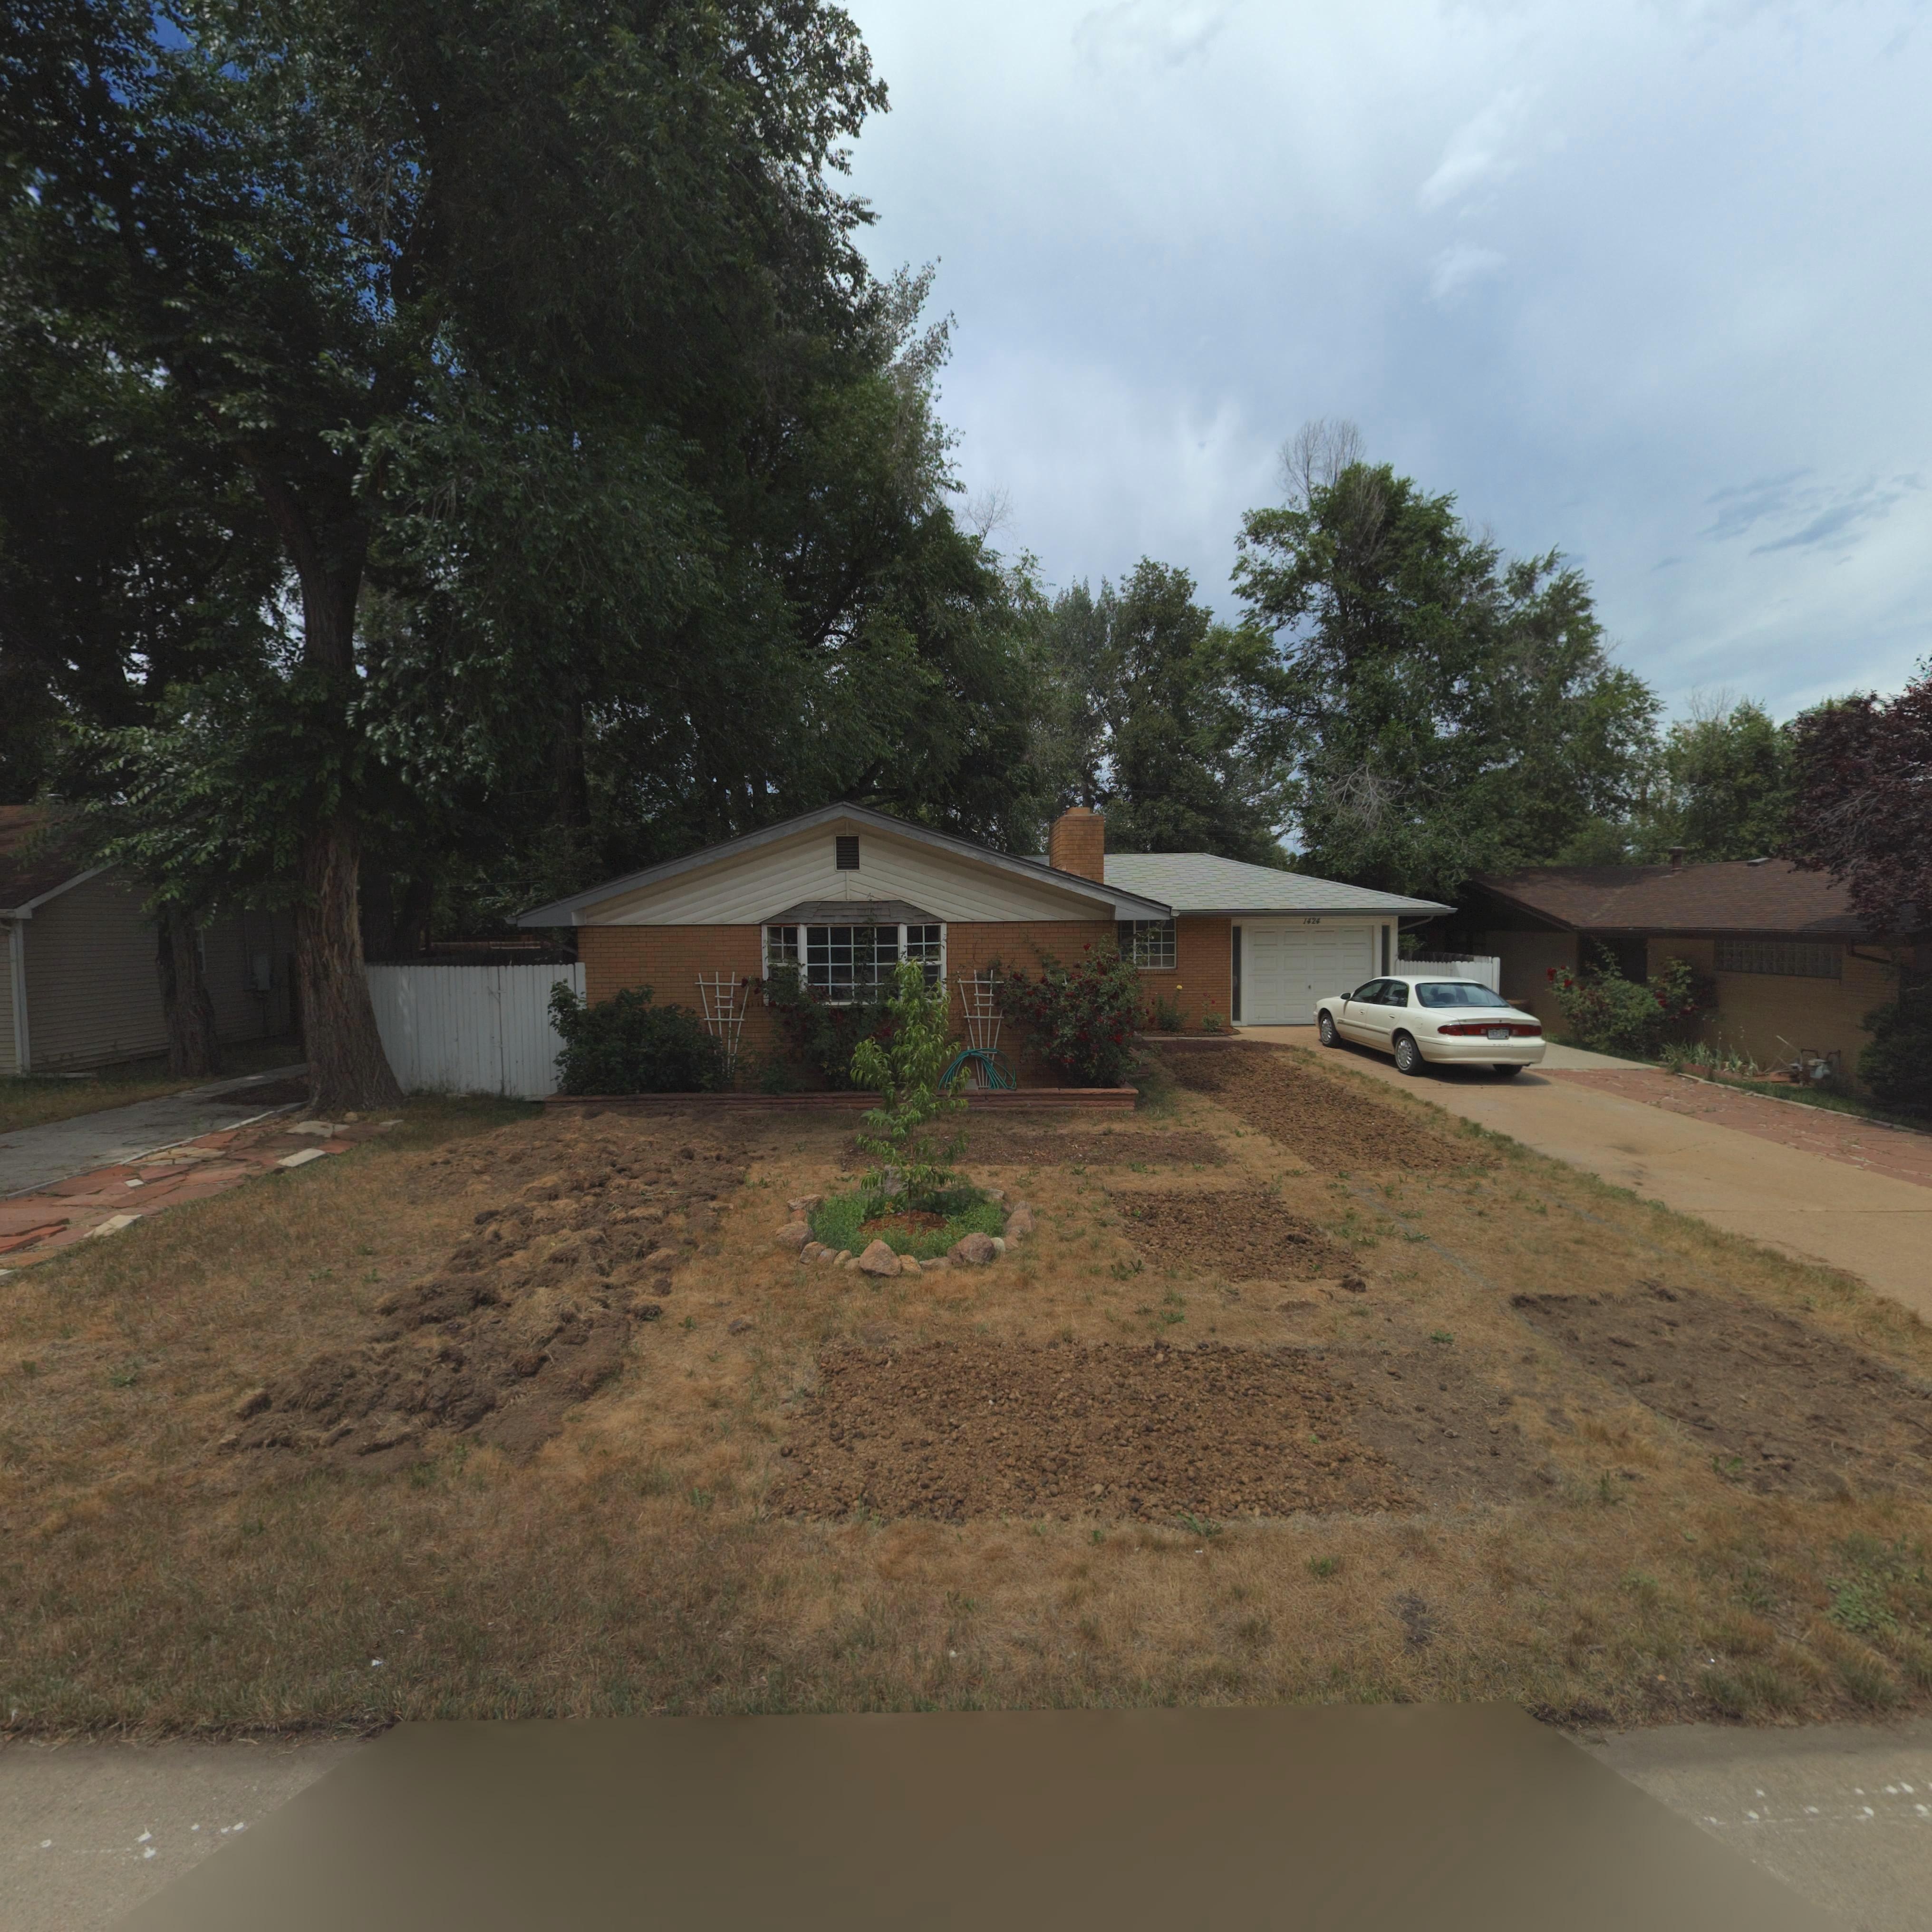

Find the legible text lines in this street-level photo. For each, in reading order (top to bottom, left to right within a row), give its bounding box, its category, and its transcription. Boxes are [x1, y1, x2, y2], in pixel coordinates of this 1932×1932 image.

[1302, 917, 1321, 925] StreetNumber: 1424